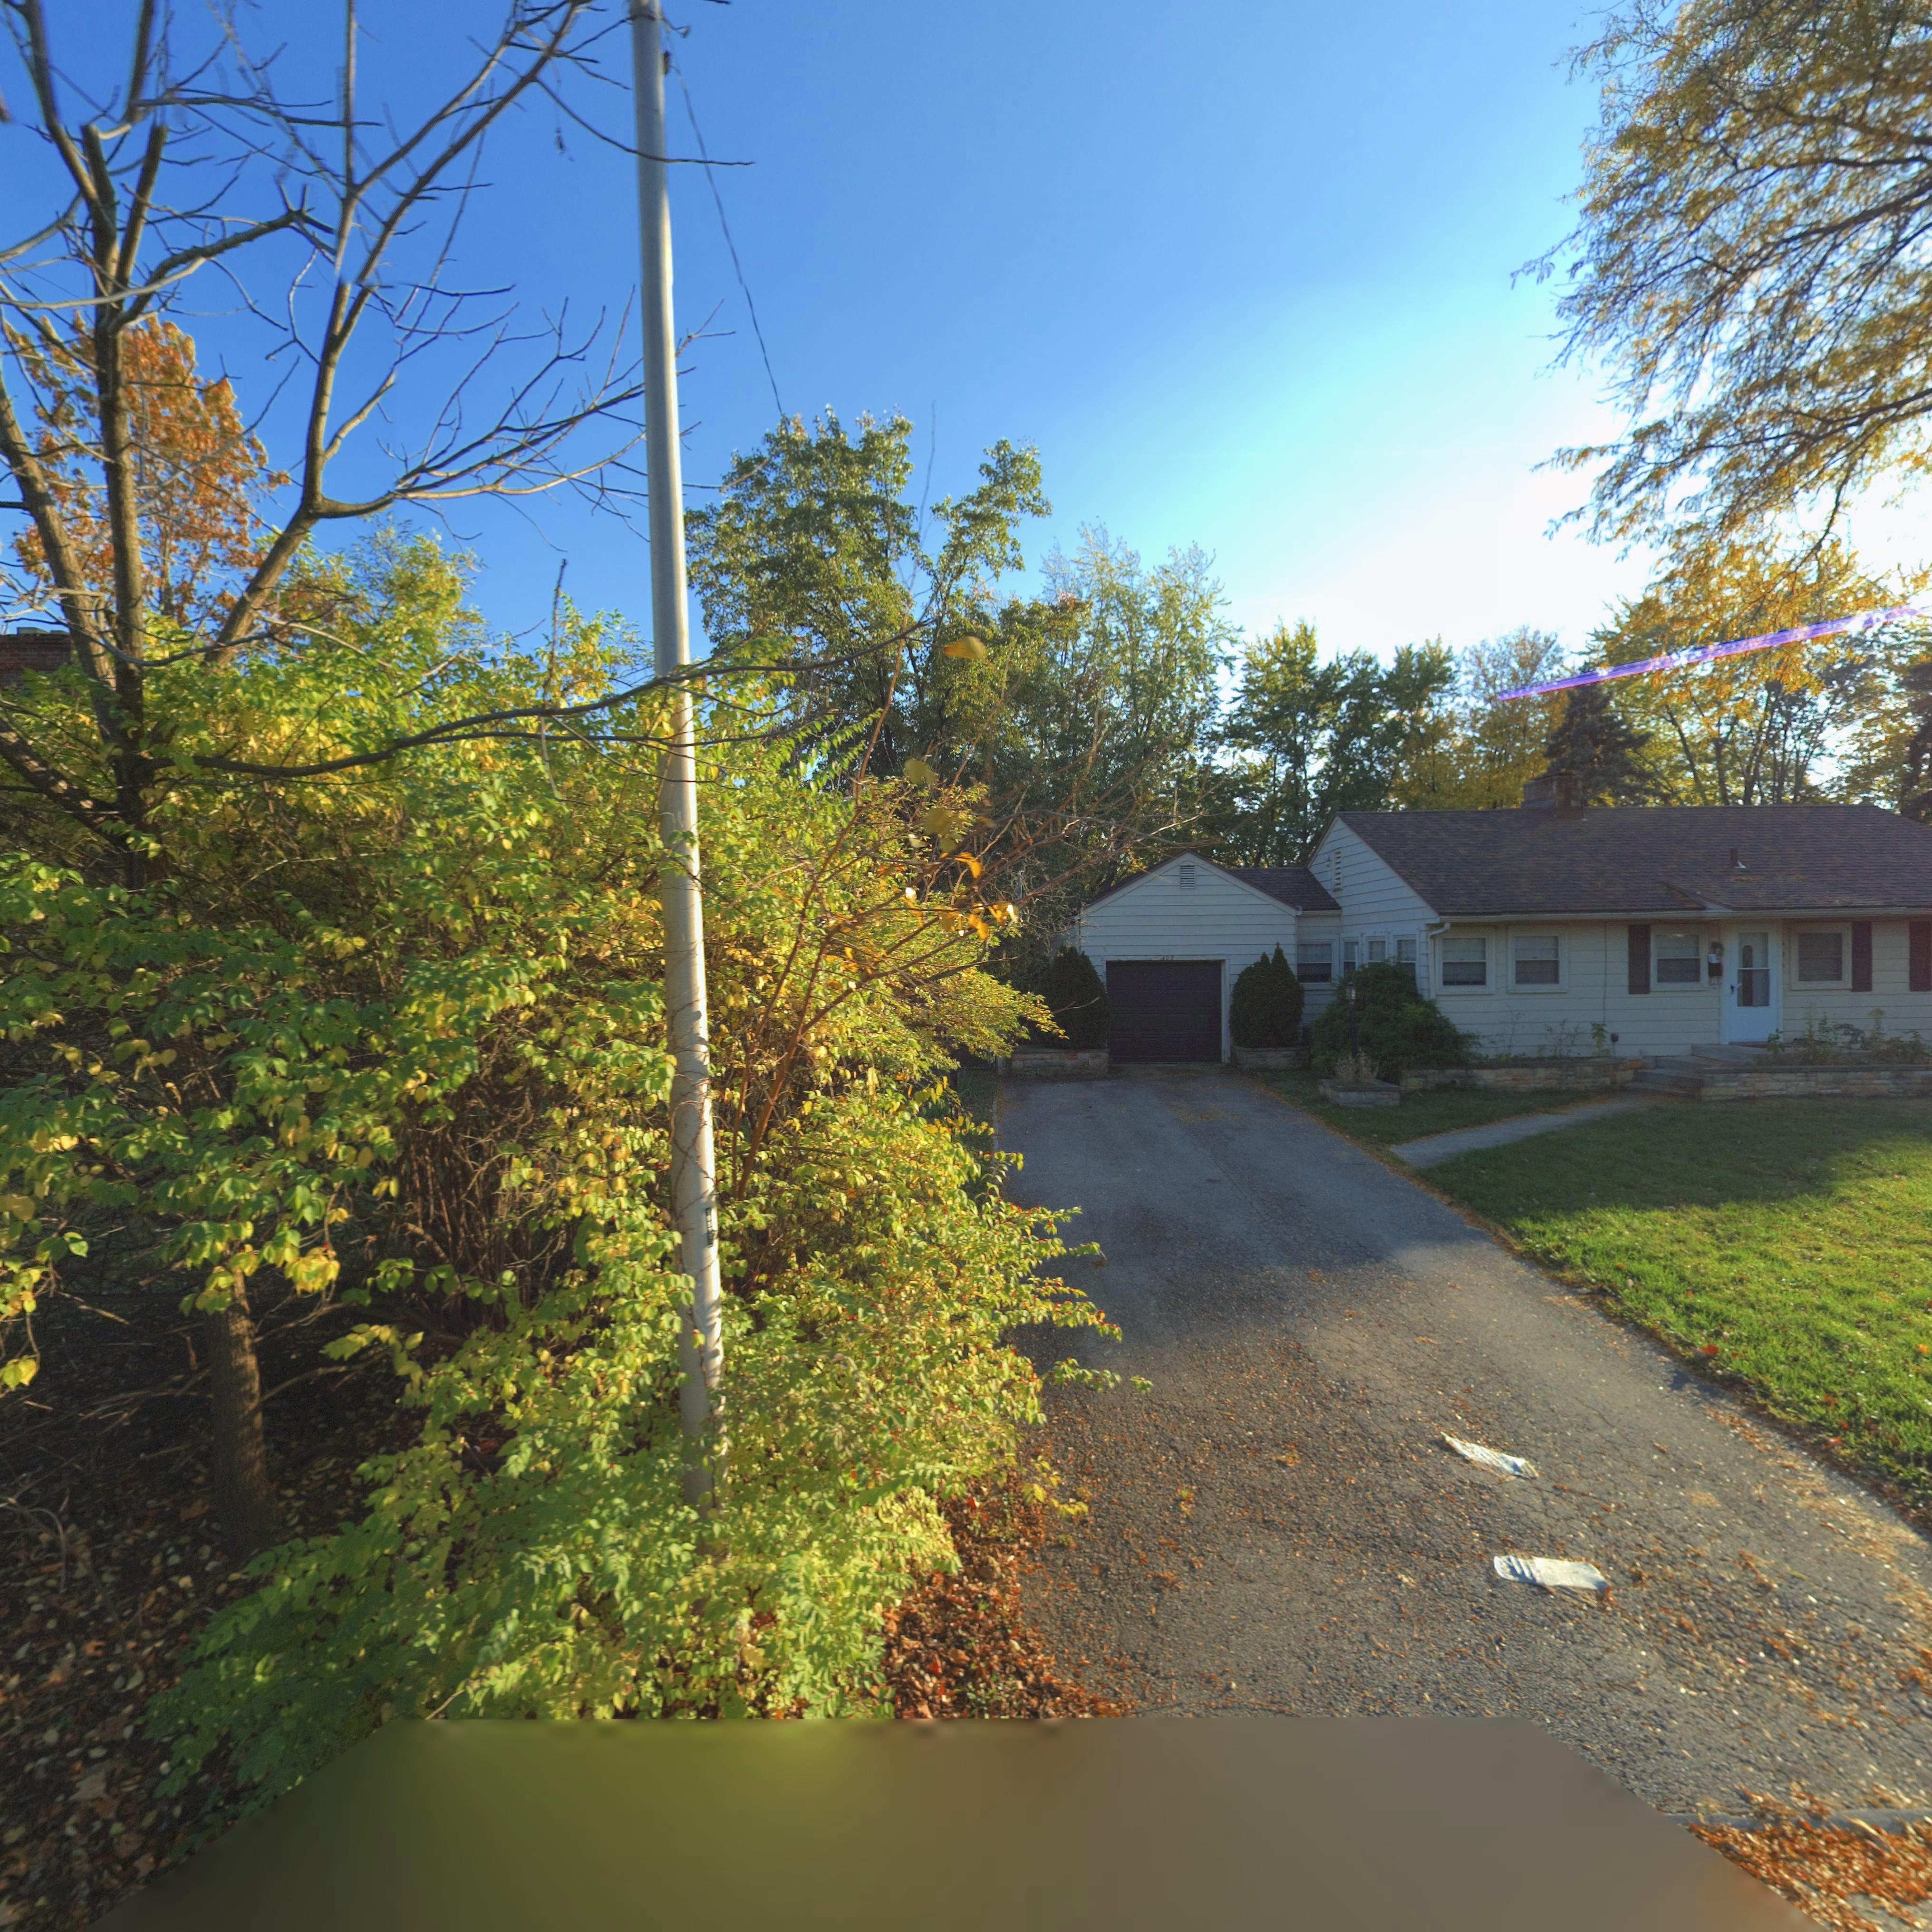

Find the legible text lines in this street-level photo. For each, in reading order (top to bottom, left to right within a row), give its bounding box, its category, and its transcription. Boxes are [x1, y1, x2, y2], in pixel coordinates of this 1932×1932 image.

[1161, 955, 1175, 960] StreetNumber: 408